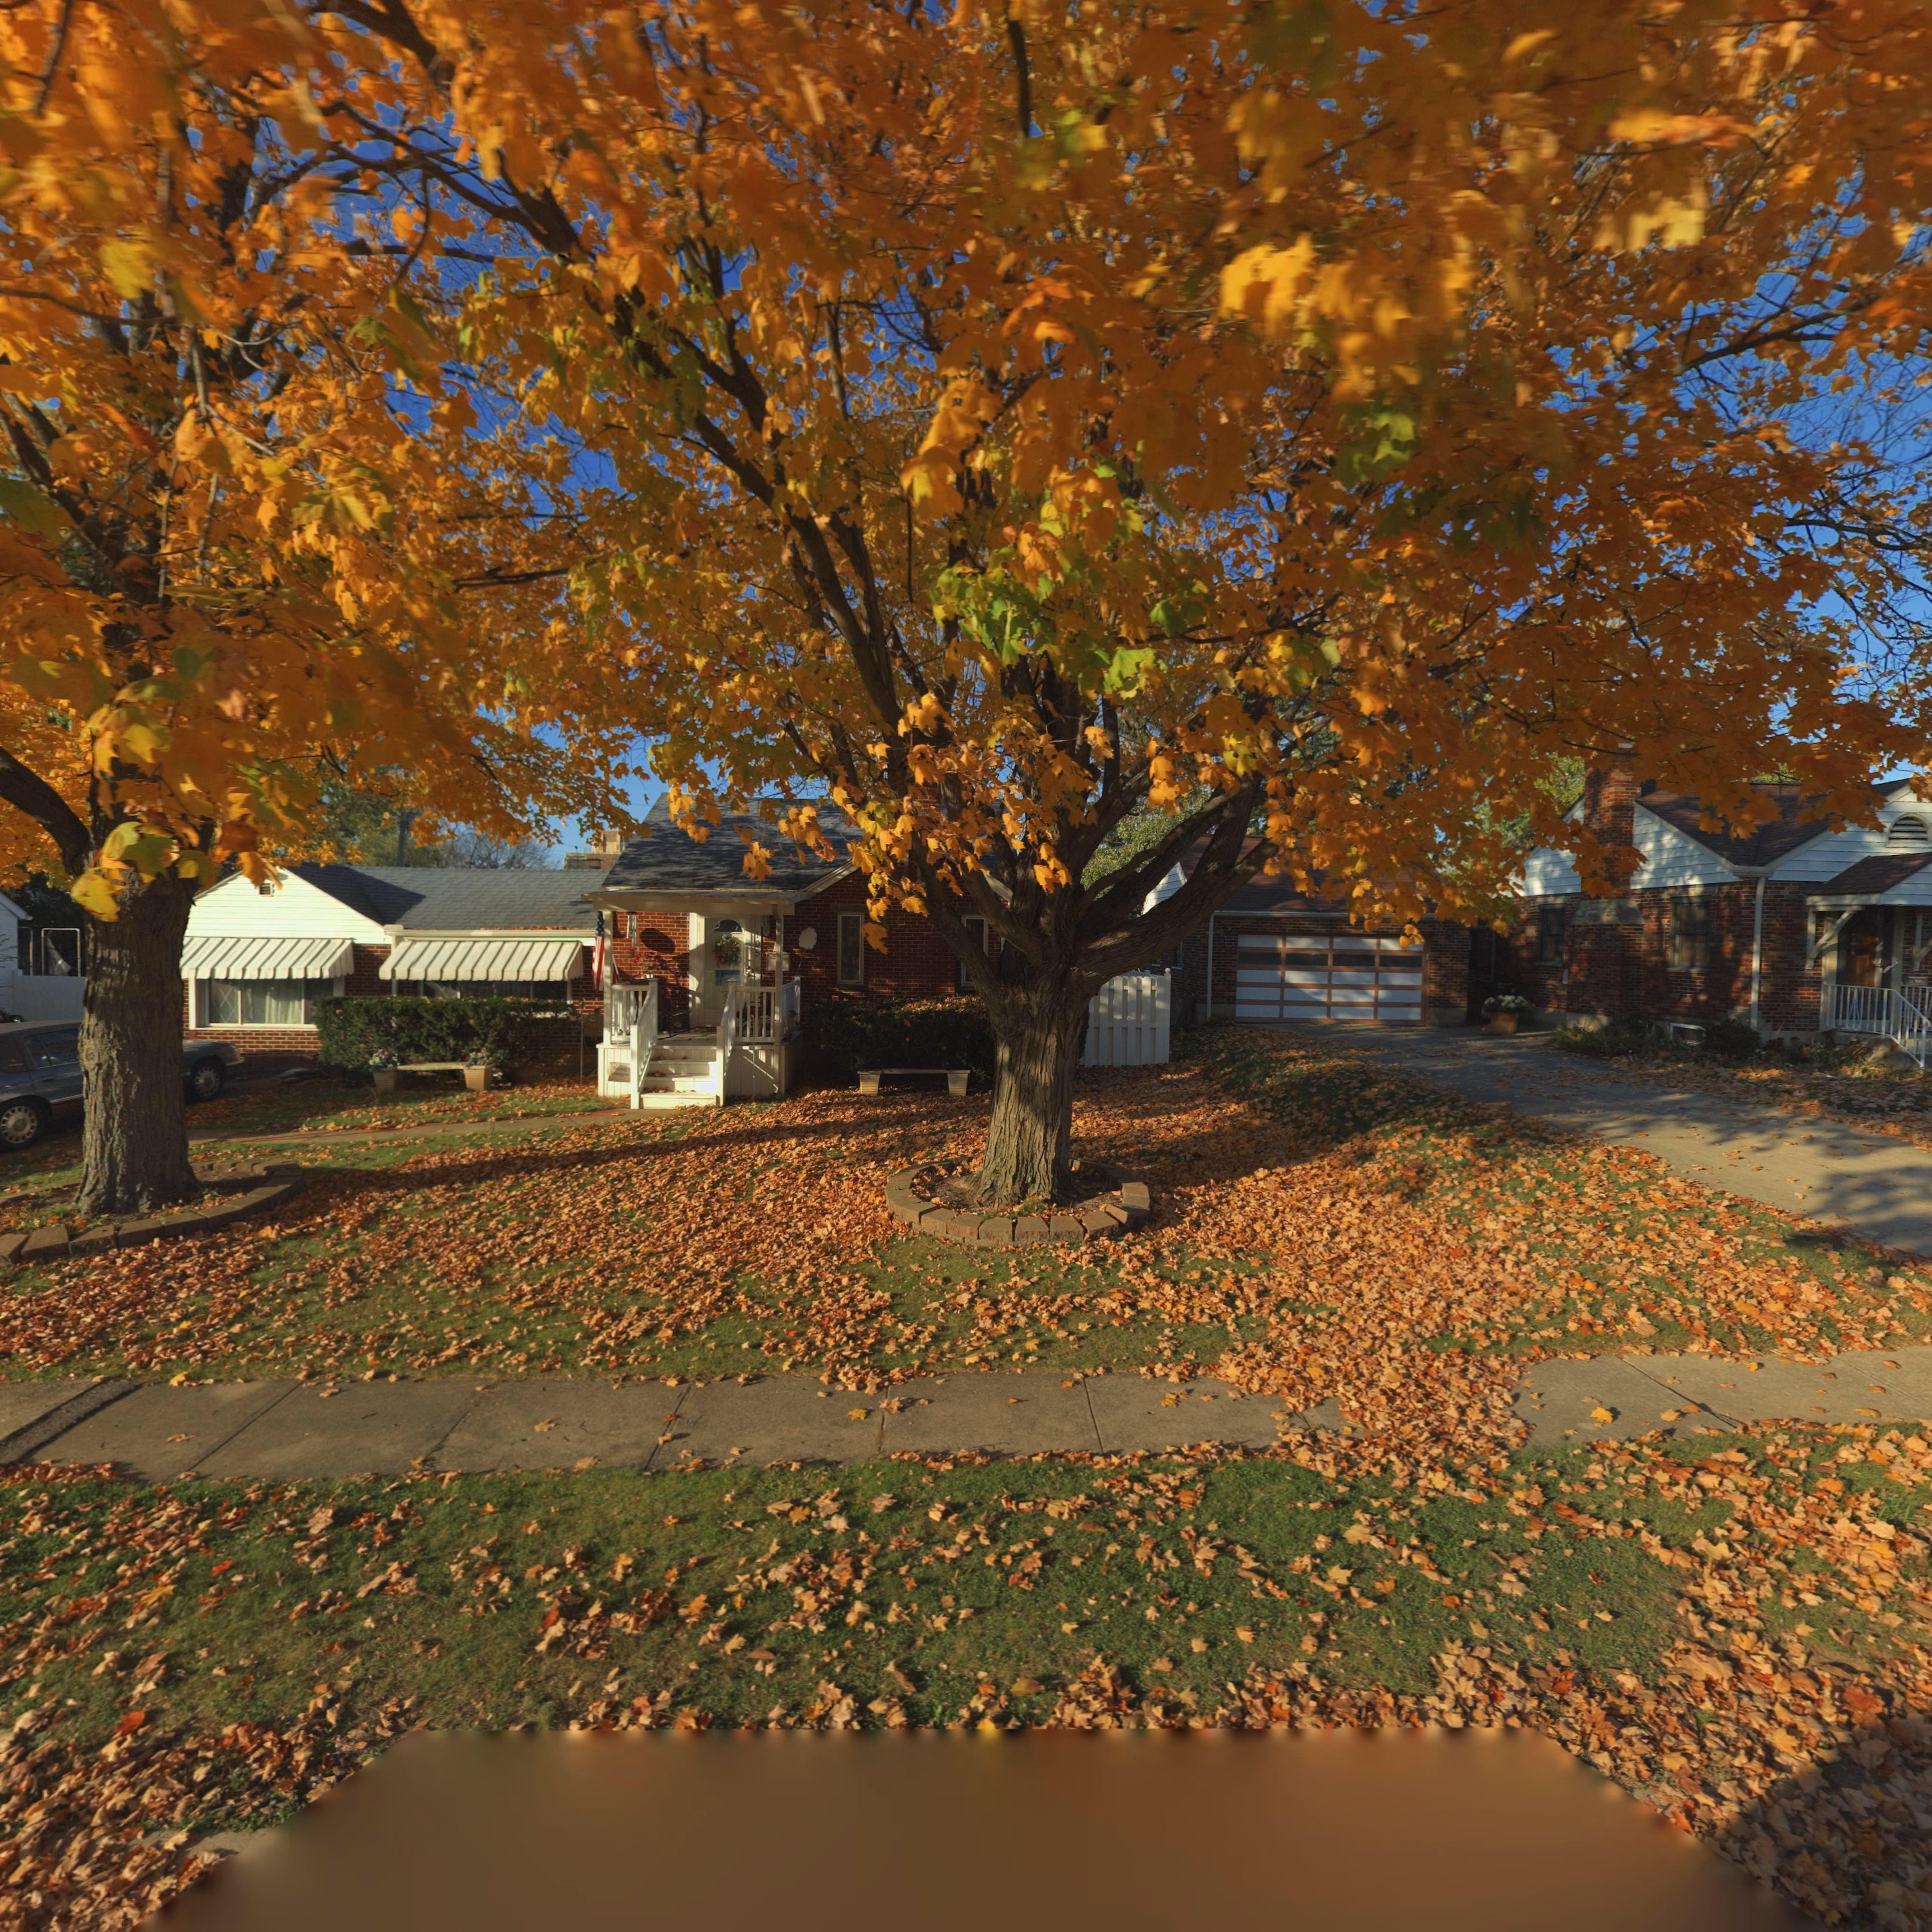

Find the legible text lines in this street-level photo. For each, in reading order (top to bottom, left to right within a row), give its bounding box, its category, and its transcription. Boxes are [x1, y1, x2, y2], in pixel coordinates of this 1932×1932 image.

[754, 930, 760, 957] StreetNumber: 105